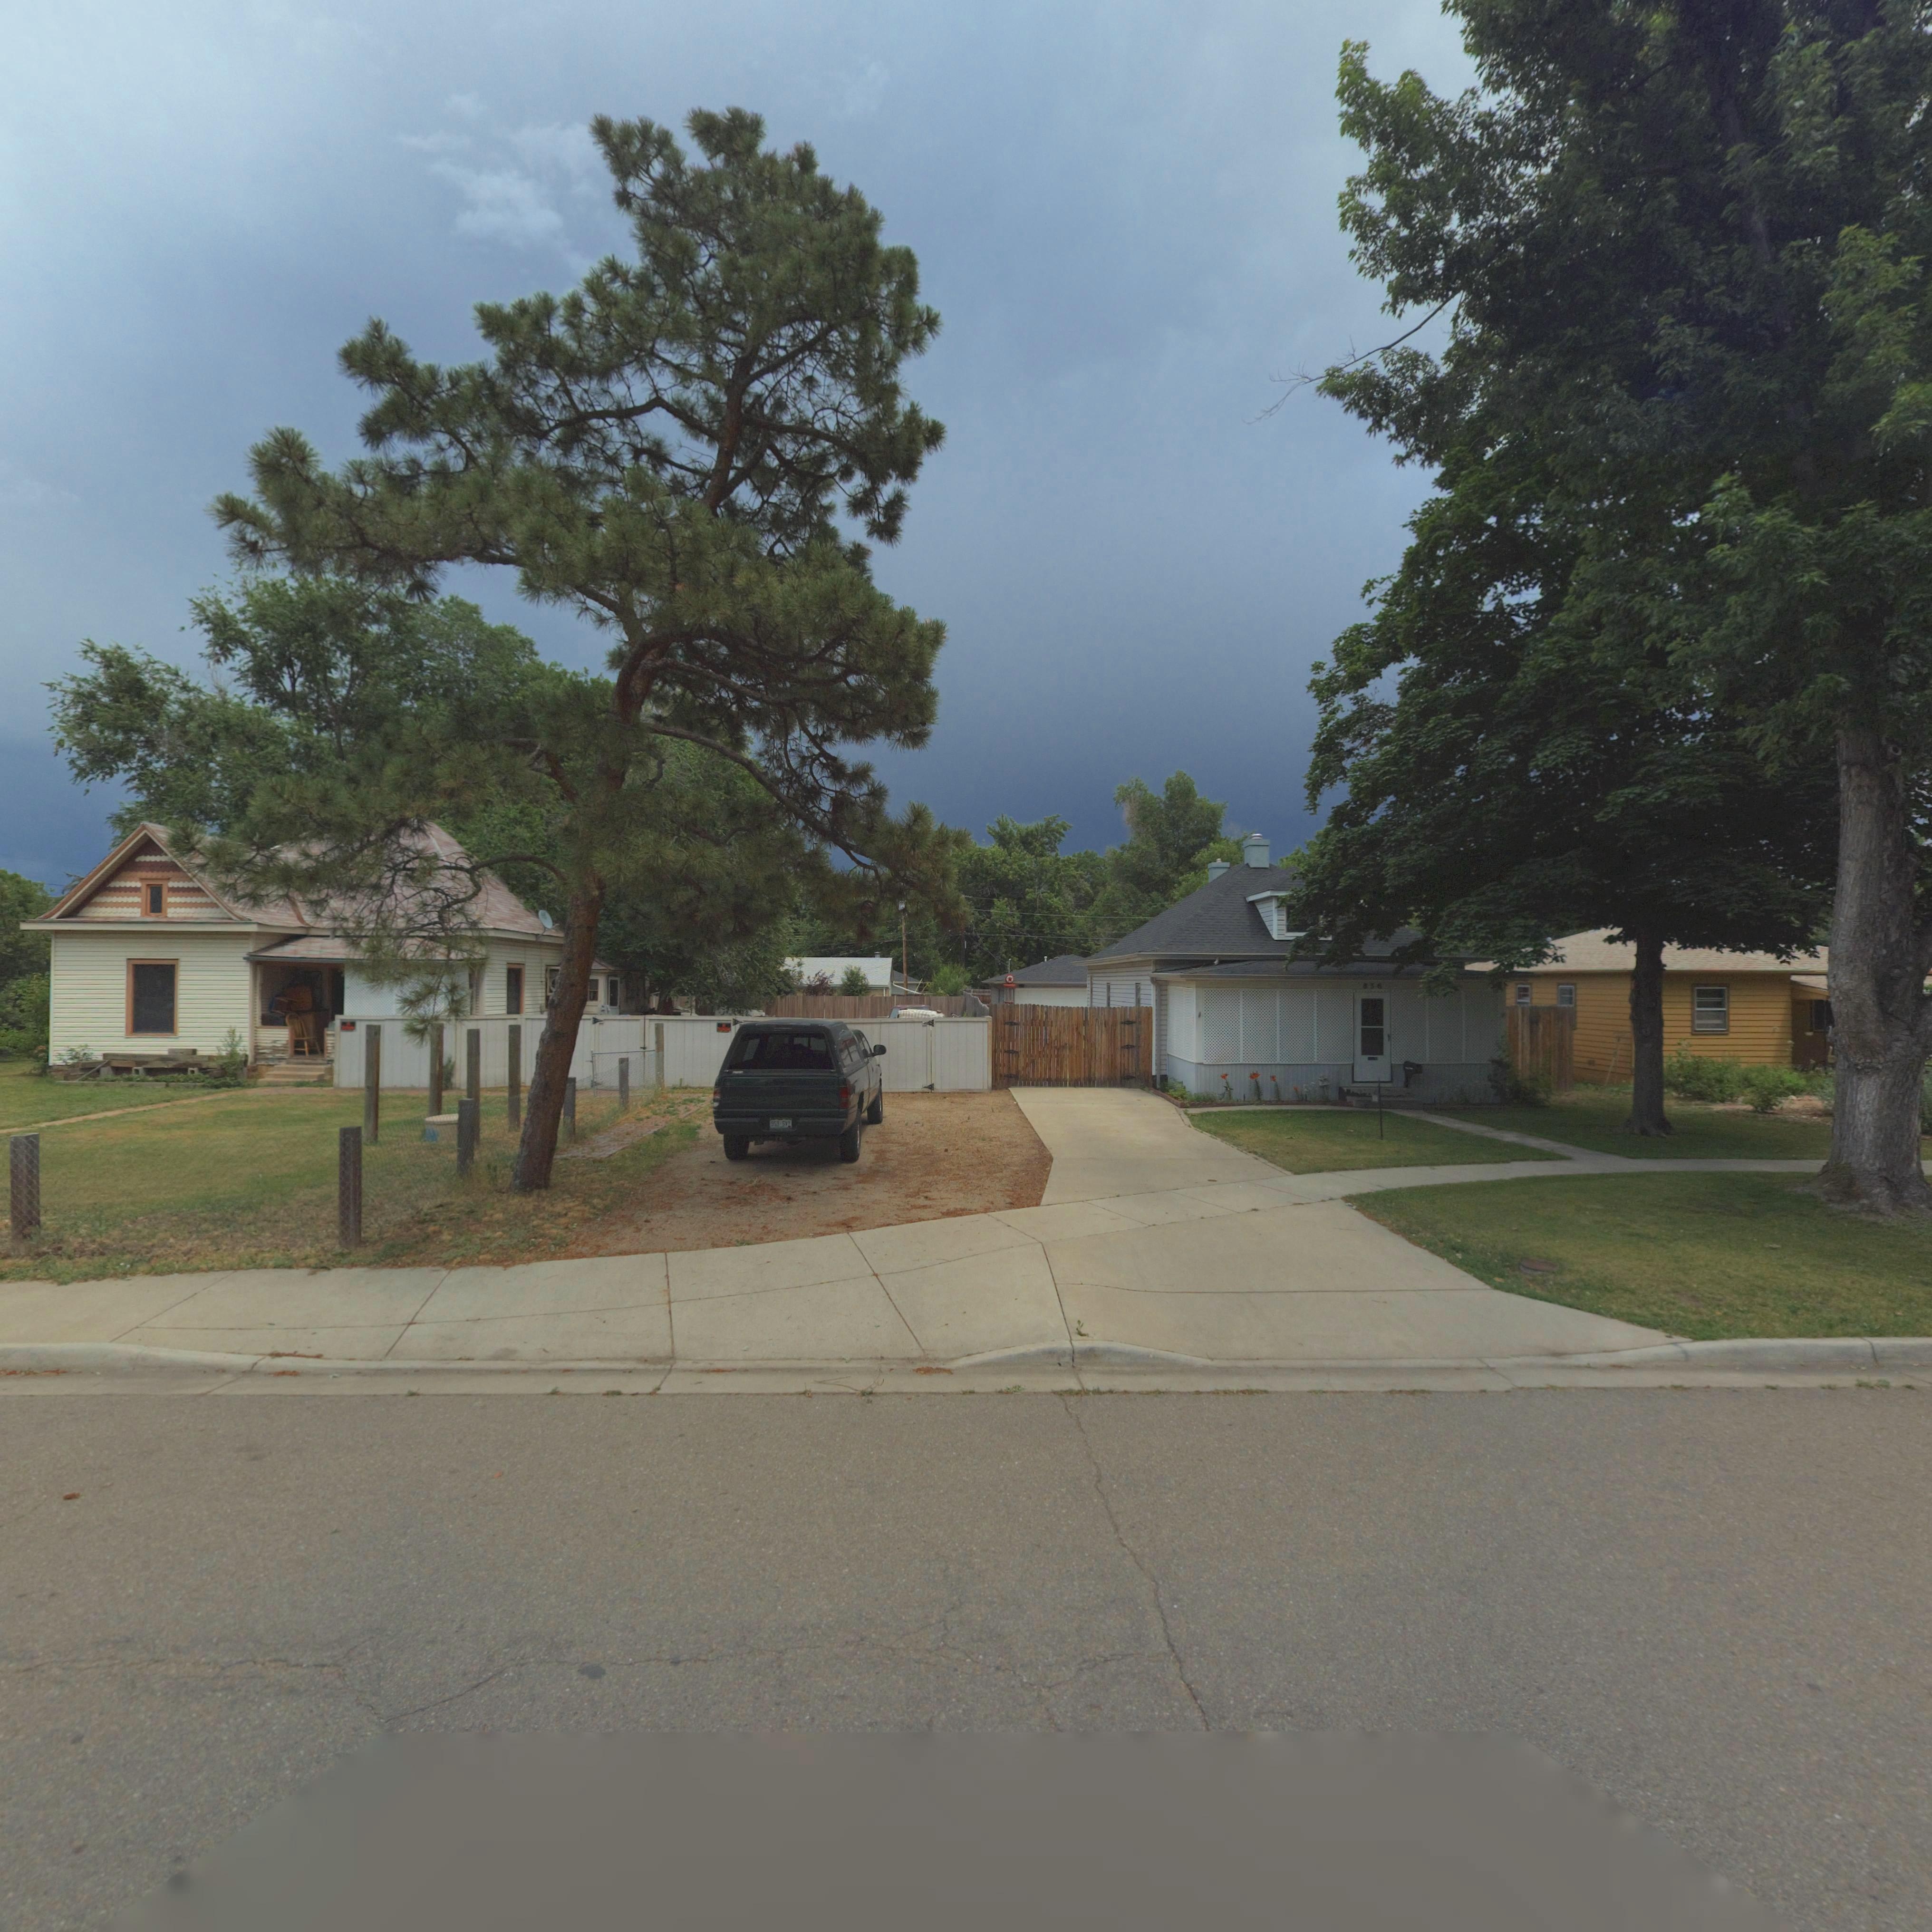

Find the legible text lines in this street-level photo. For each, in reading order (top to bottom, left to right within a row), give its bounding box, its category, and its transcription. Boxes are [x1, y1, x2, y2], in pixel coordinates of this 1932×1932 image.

[1362, 982, 1382, 990] StreetNumber: *36